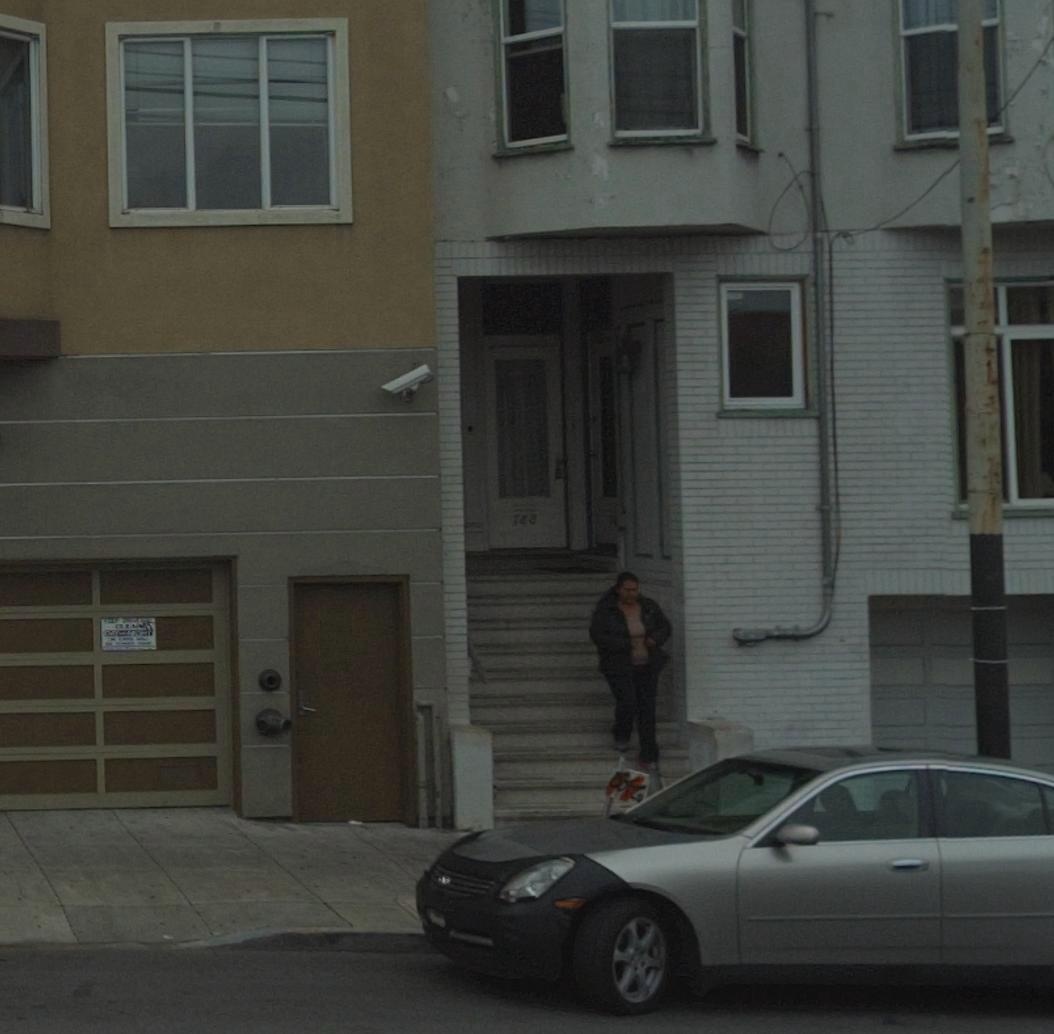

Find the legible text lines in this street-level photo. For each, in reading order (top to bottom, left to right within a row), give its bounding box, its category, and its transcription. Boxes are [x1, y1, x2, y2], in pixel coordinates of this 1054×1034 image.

[511, 512, 539, 526] StreetNumber: 788